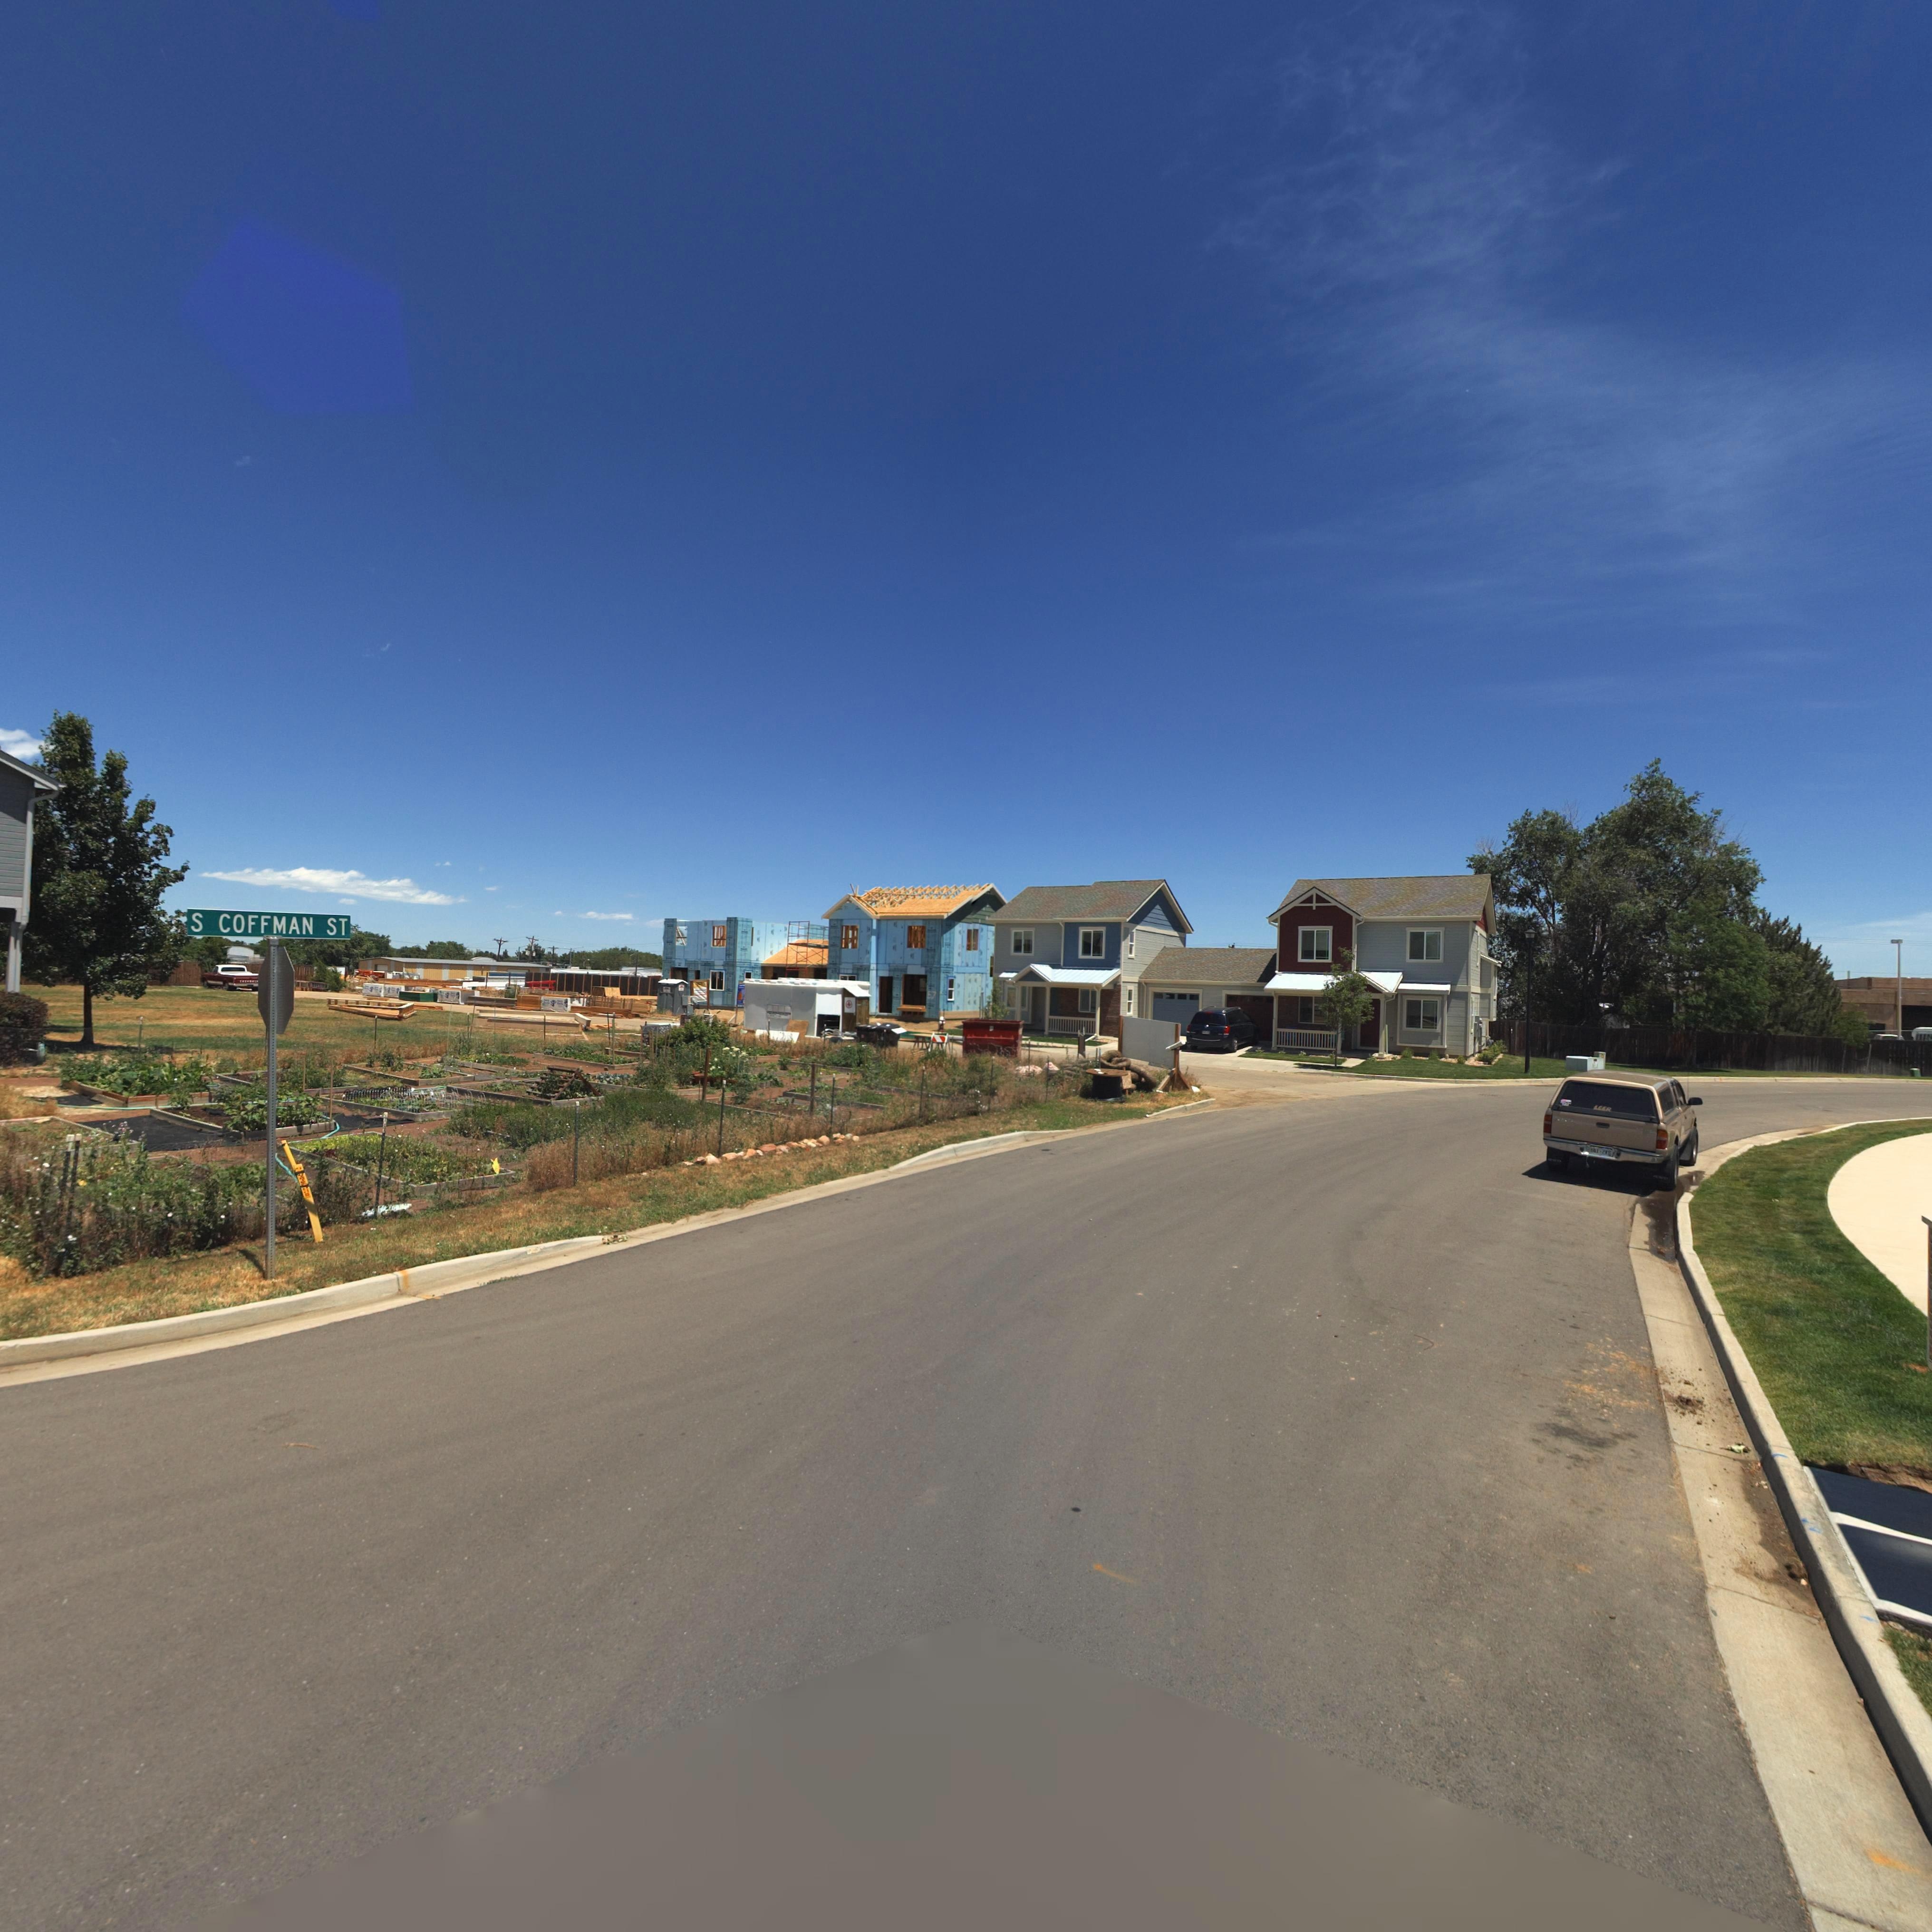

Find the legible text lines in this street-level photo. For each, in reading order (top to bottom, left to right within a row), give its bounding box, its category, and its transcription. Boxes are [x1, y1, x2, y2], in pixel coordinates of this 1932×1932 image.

[190, 911, 348, 937] StreetName: S COFFMAN ST